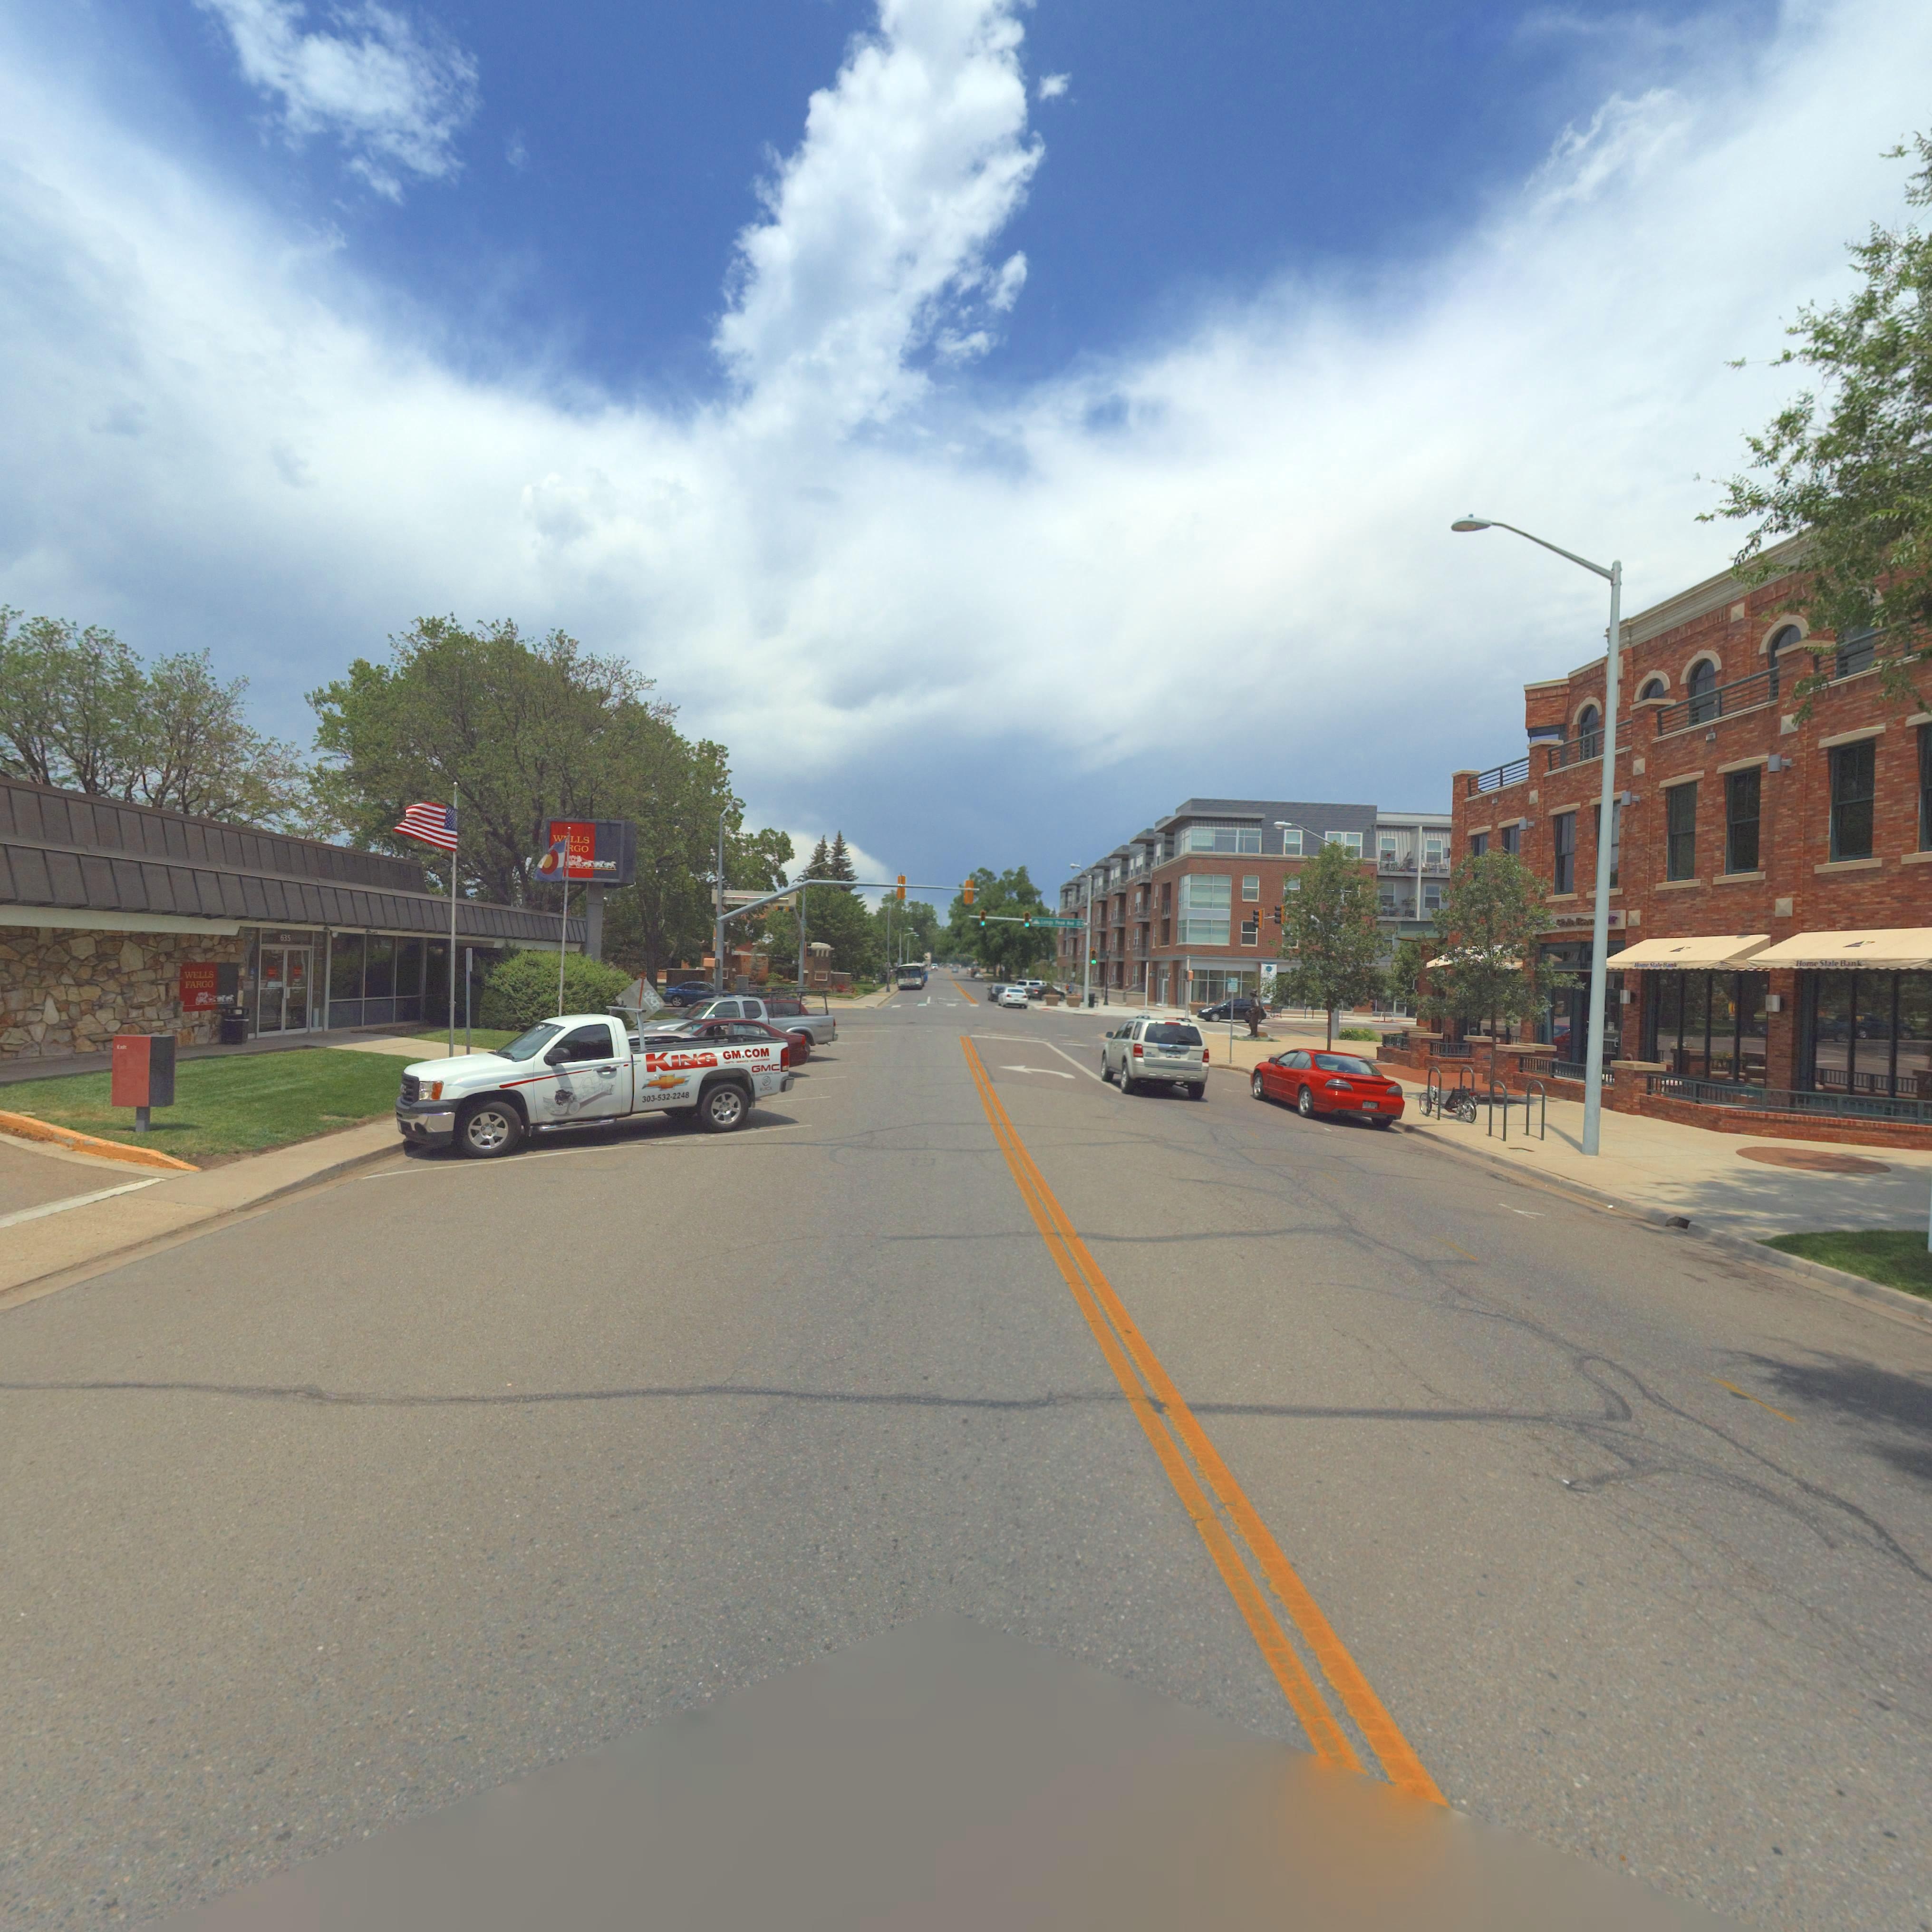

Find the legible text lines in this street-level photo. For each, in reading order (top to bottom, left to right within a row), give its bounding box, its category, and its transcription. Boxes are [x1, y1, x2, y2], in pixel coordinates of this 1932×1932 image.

[551, 835, 589, 844] BusinessName: W*LLS
[567, 844, 589, 852] BusinessName: *GO
[1041, 919, 1074, 926] StreetName: Lo*gs P**k Ave
[1554, 917, 1594, 927] BusinessName: *t*** B*n
[280, 934, 291, 941] StreetNumber: 635
[1634, 962, 1678, 967] BusinessName: H*me St*te B*nk
[1796, 960, 1863, 966] BusinessName: Home State Bank
[184, 970, 214, 978] BusinessName: WELLS
[184, 980, 214, 988] BusinessName: FARGO